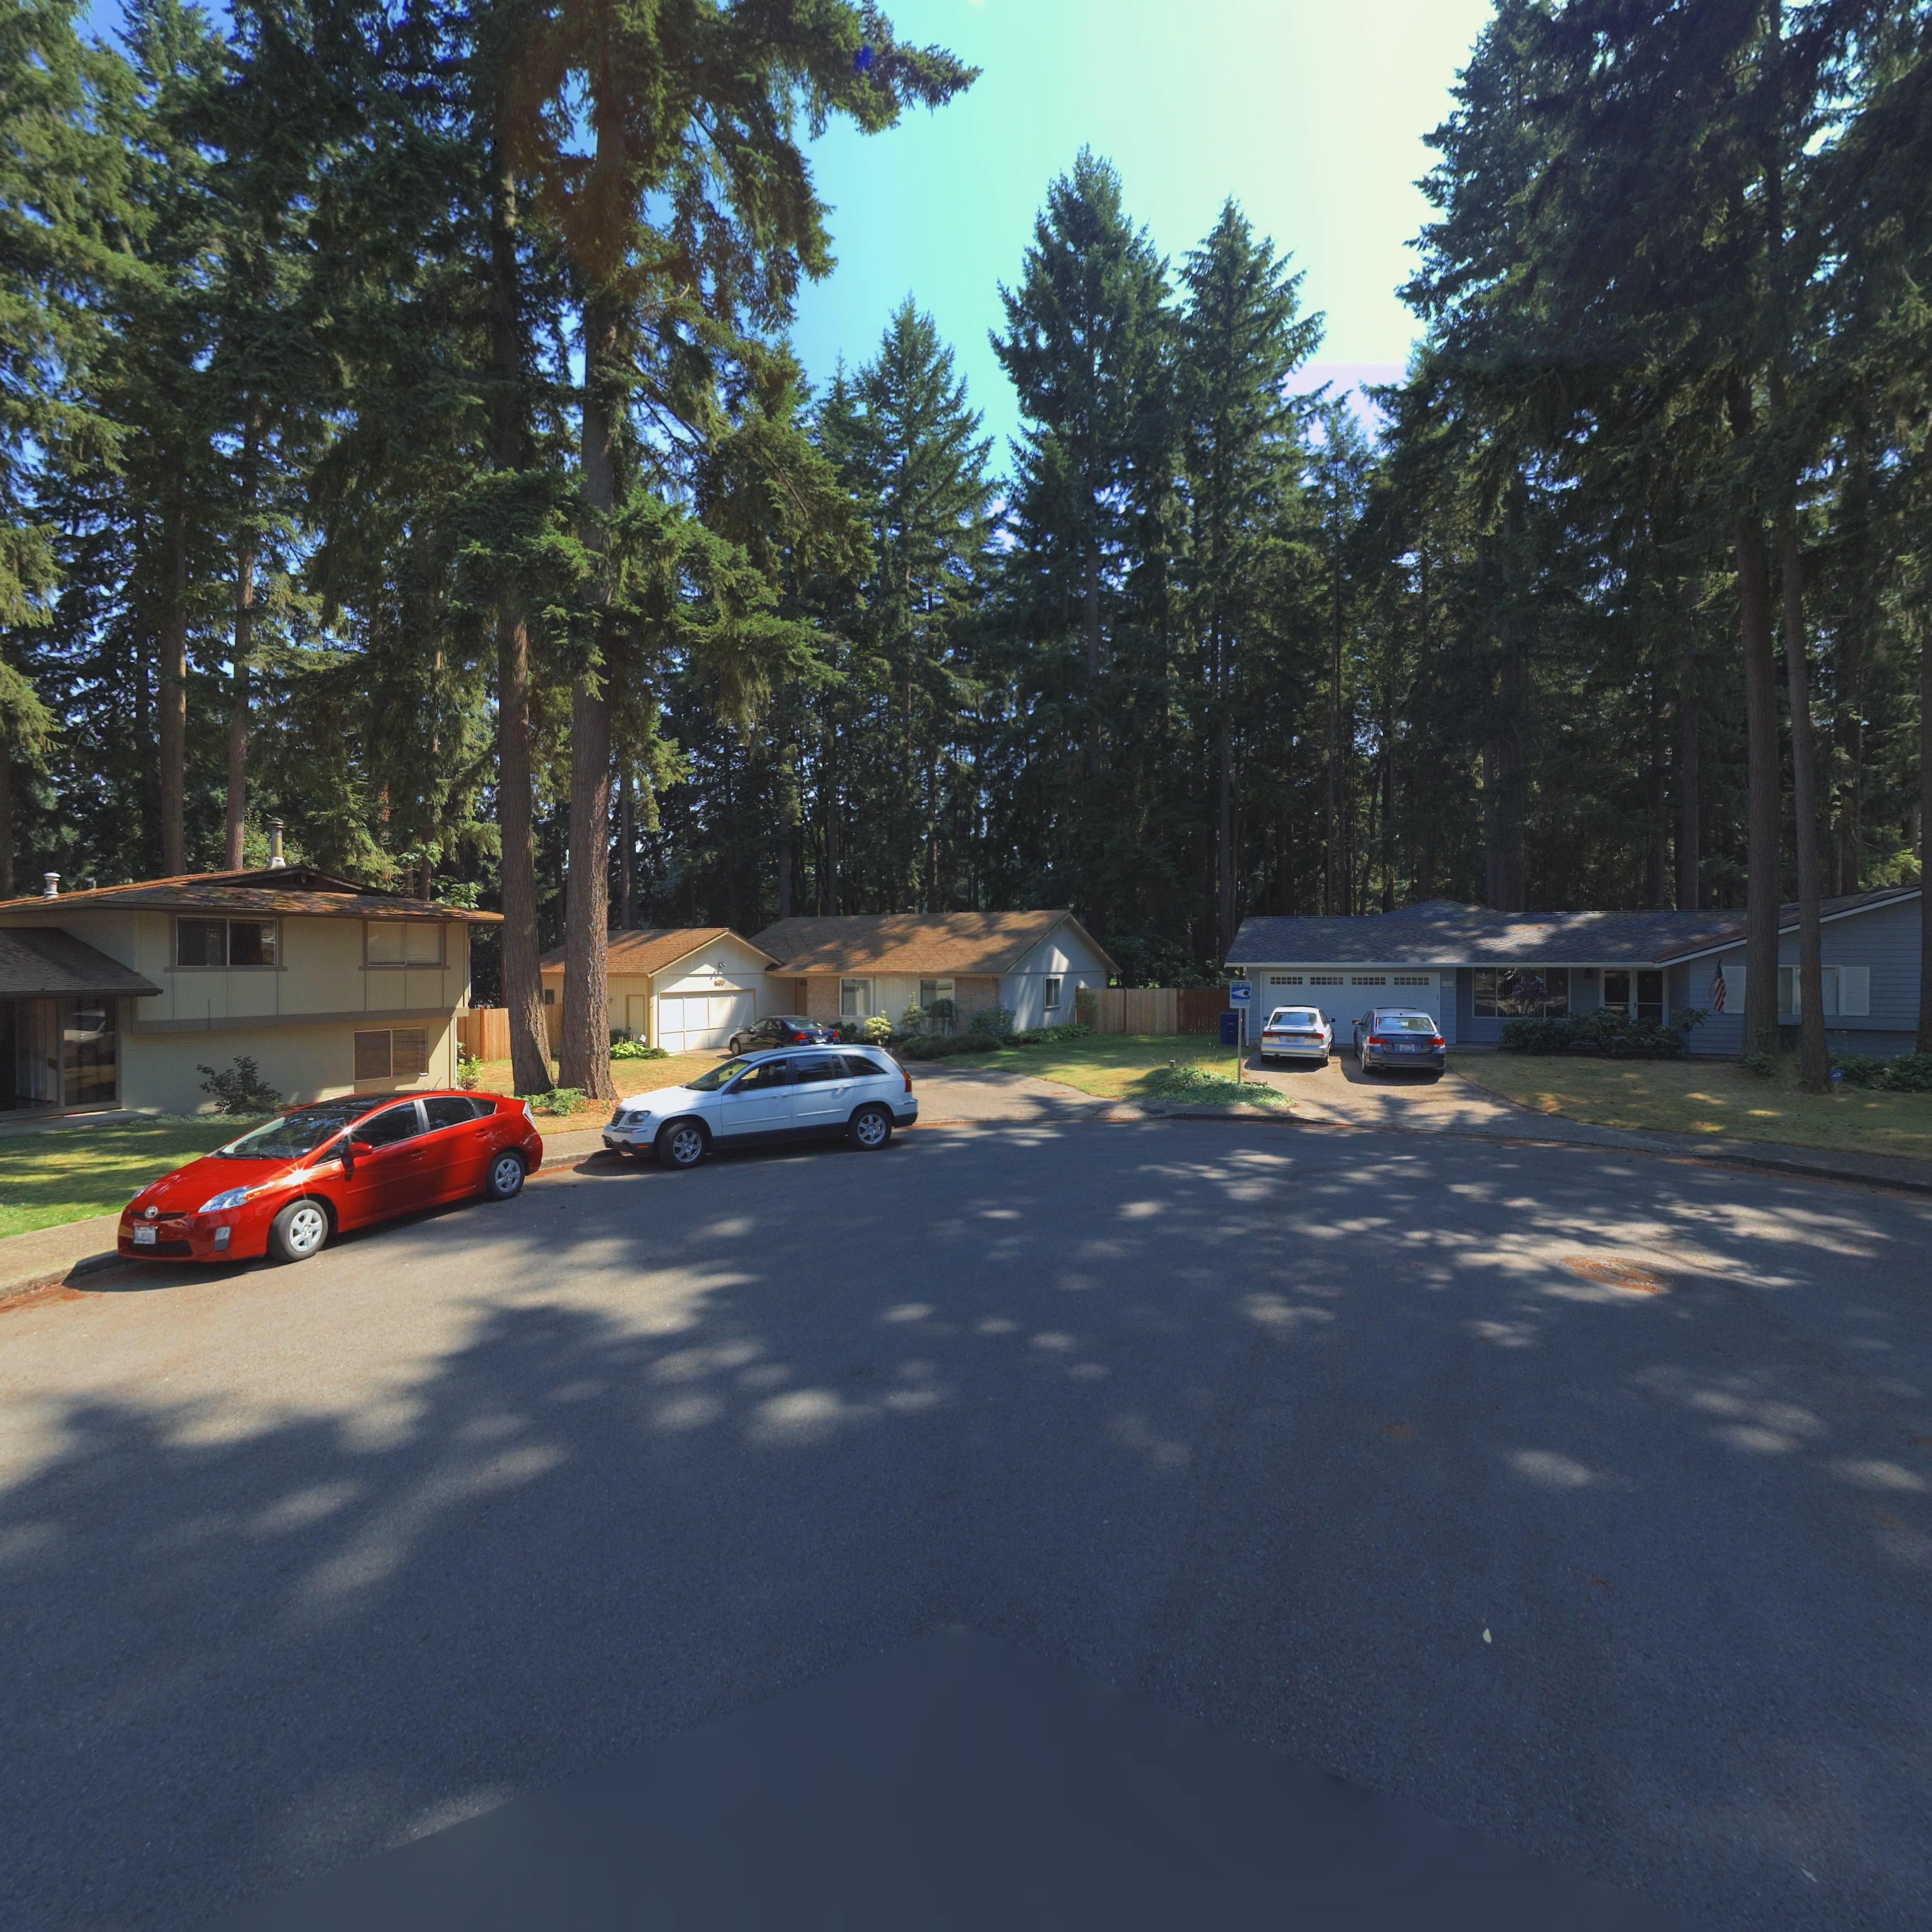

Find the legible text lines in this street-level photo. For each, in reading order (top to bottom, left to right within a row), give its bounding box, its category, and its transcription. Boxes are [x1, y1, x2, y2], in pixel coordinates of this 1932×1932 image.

[1442, 981, 1454, 986] StreetNumber: 1401